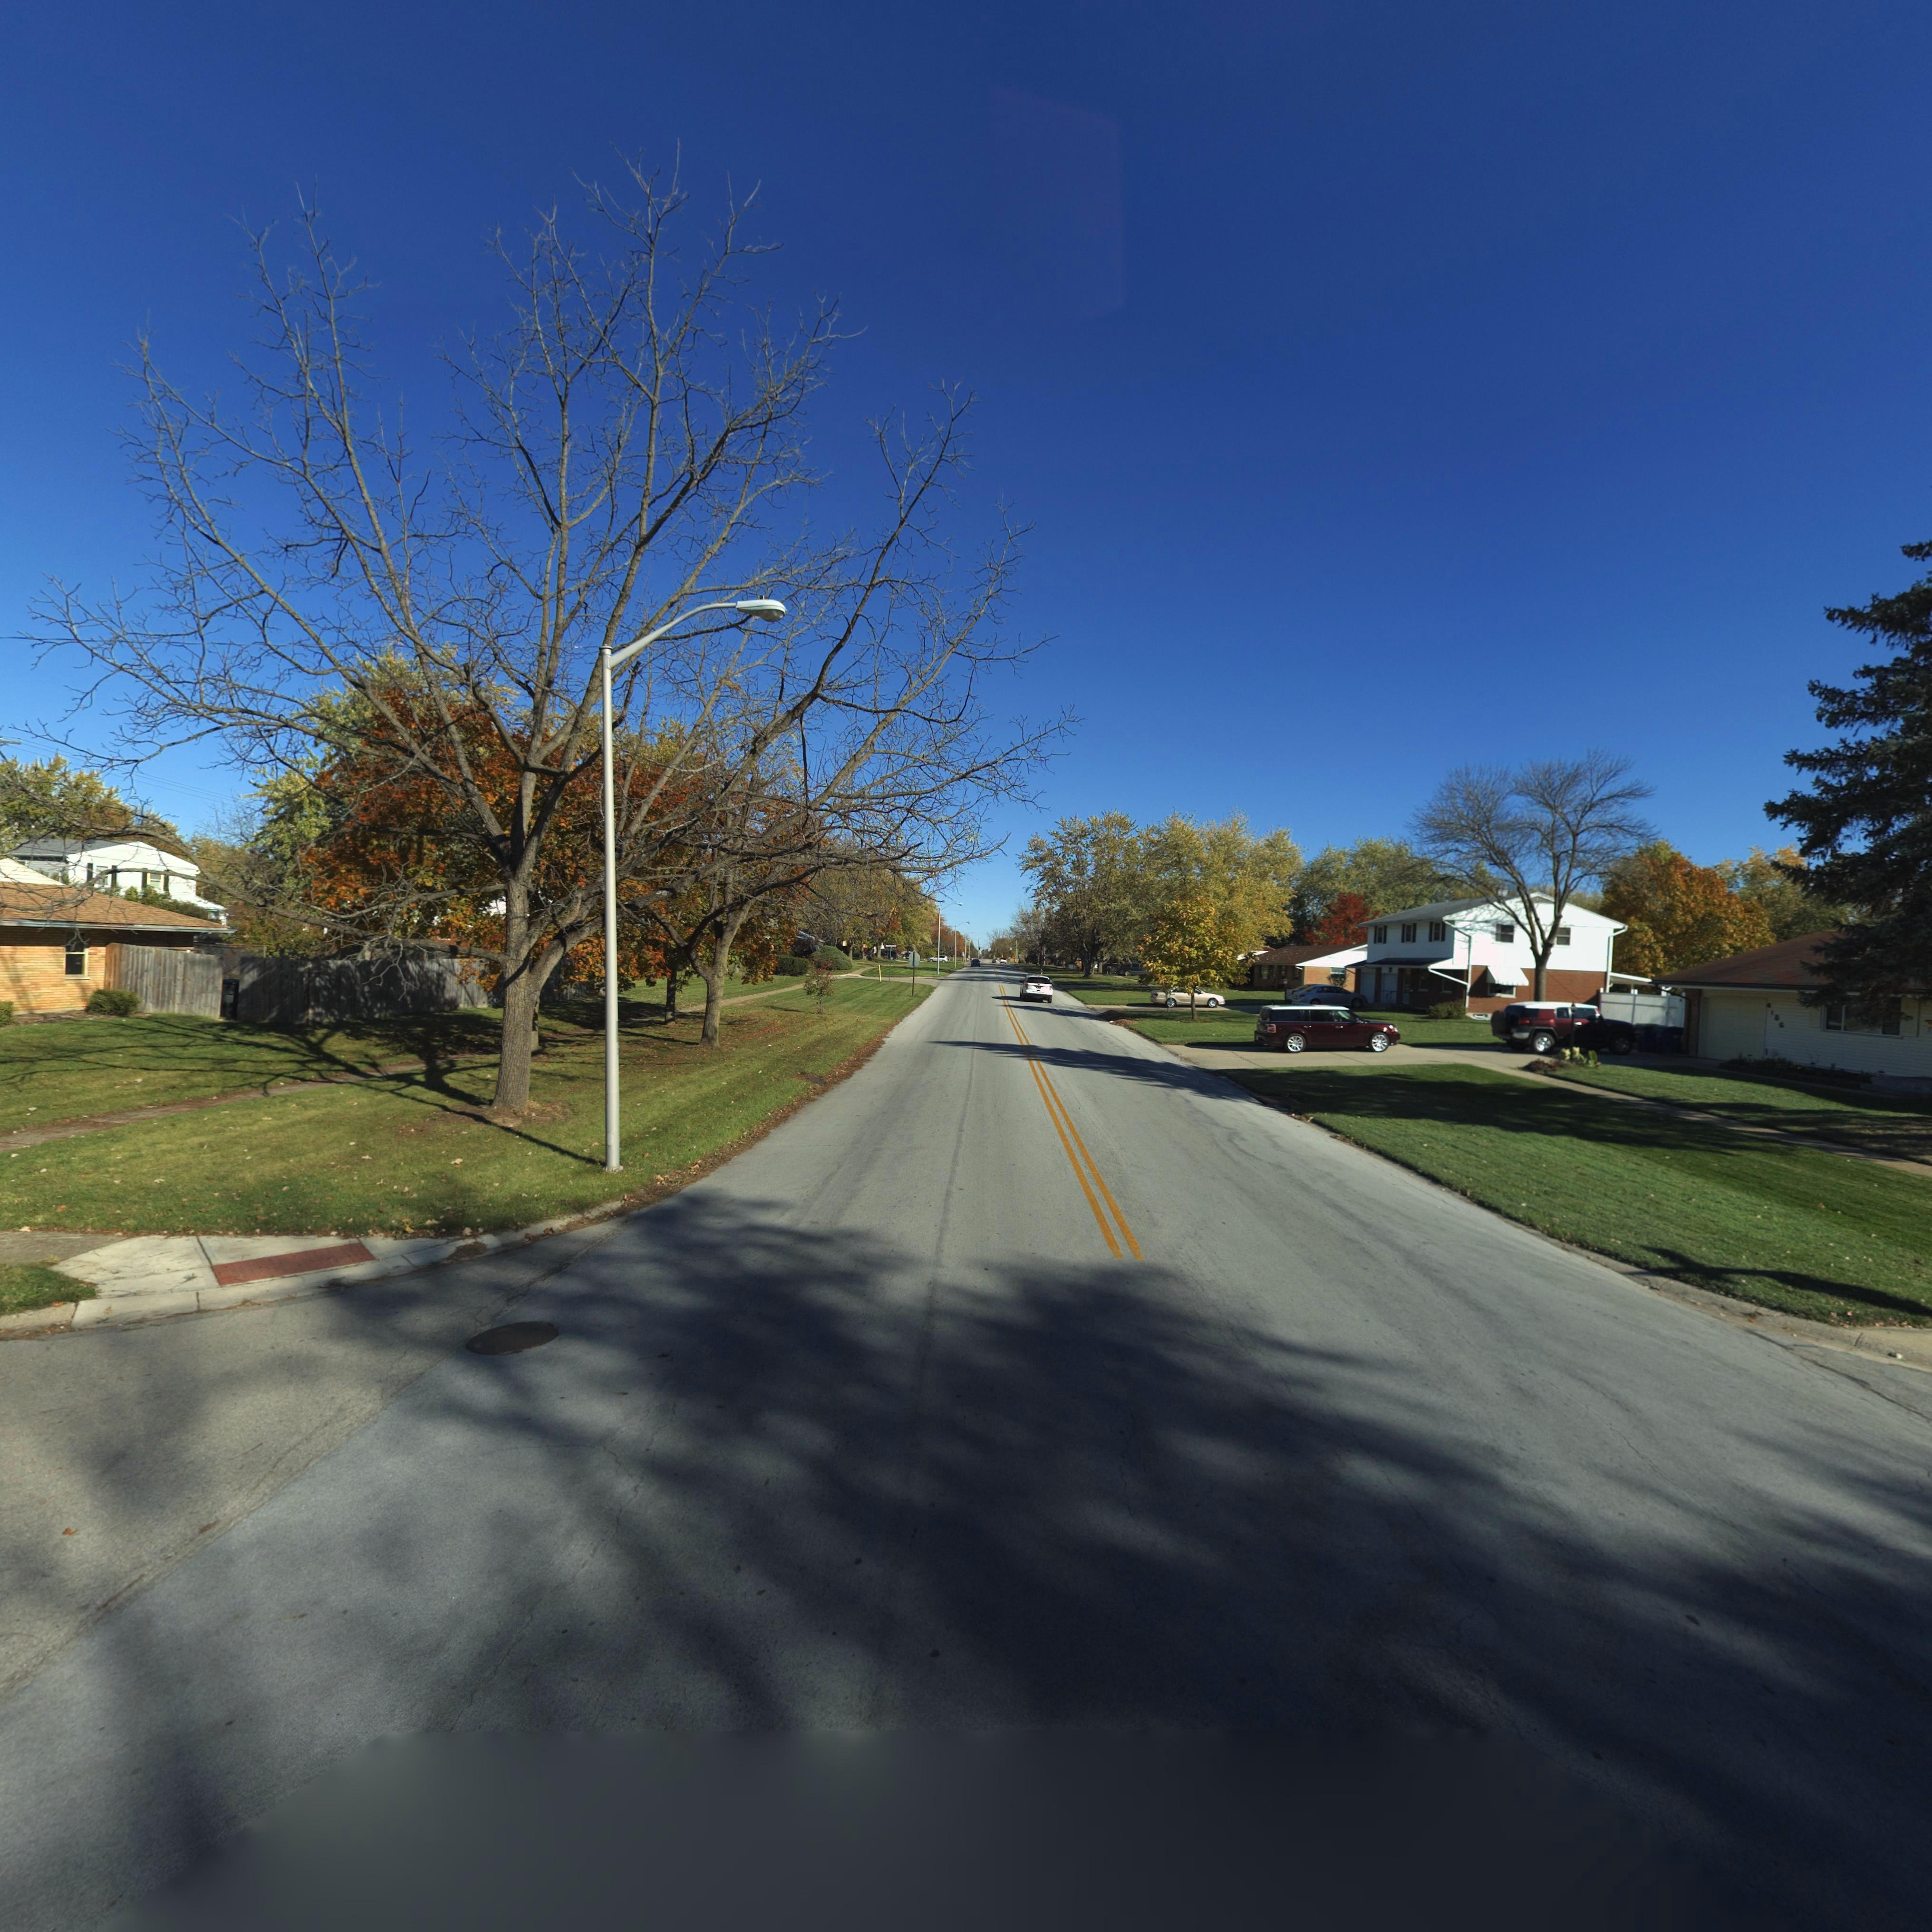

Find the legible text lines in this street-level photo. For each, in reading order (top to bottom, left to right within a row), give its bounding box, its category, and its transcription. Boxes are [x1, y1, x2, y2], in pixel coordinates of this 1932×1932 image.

[1764, 1002, 1786, 1030] StreetNumber: 4186